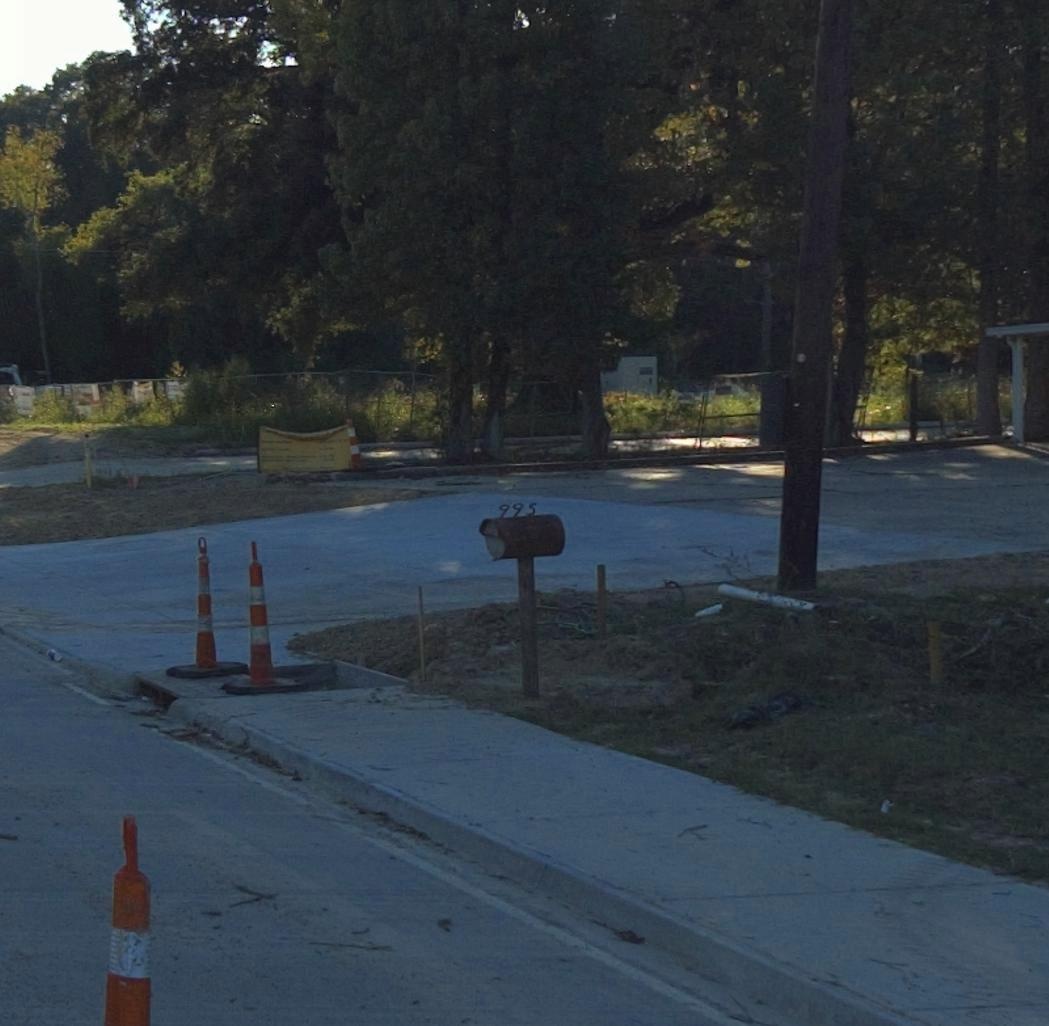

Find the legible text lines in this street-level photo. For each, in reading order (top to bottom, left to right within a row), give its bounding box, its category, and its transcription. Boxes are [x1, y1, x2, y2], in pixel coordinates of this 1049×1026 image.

[499, 502, 538, 518] StreetNumber: 995